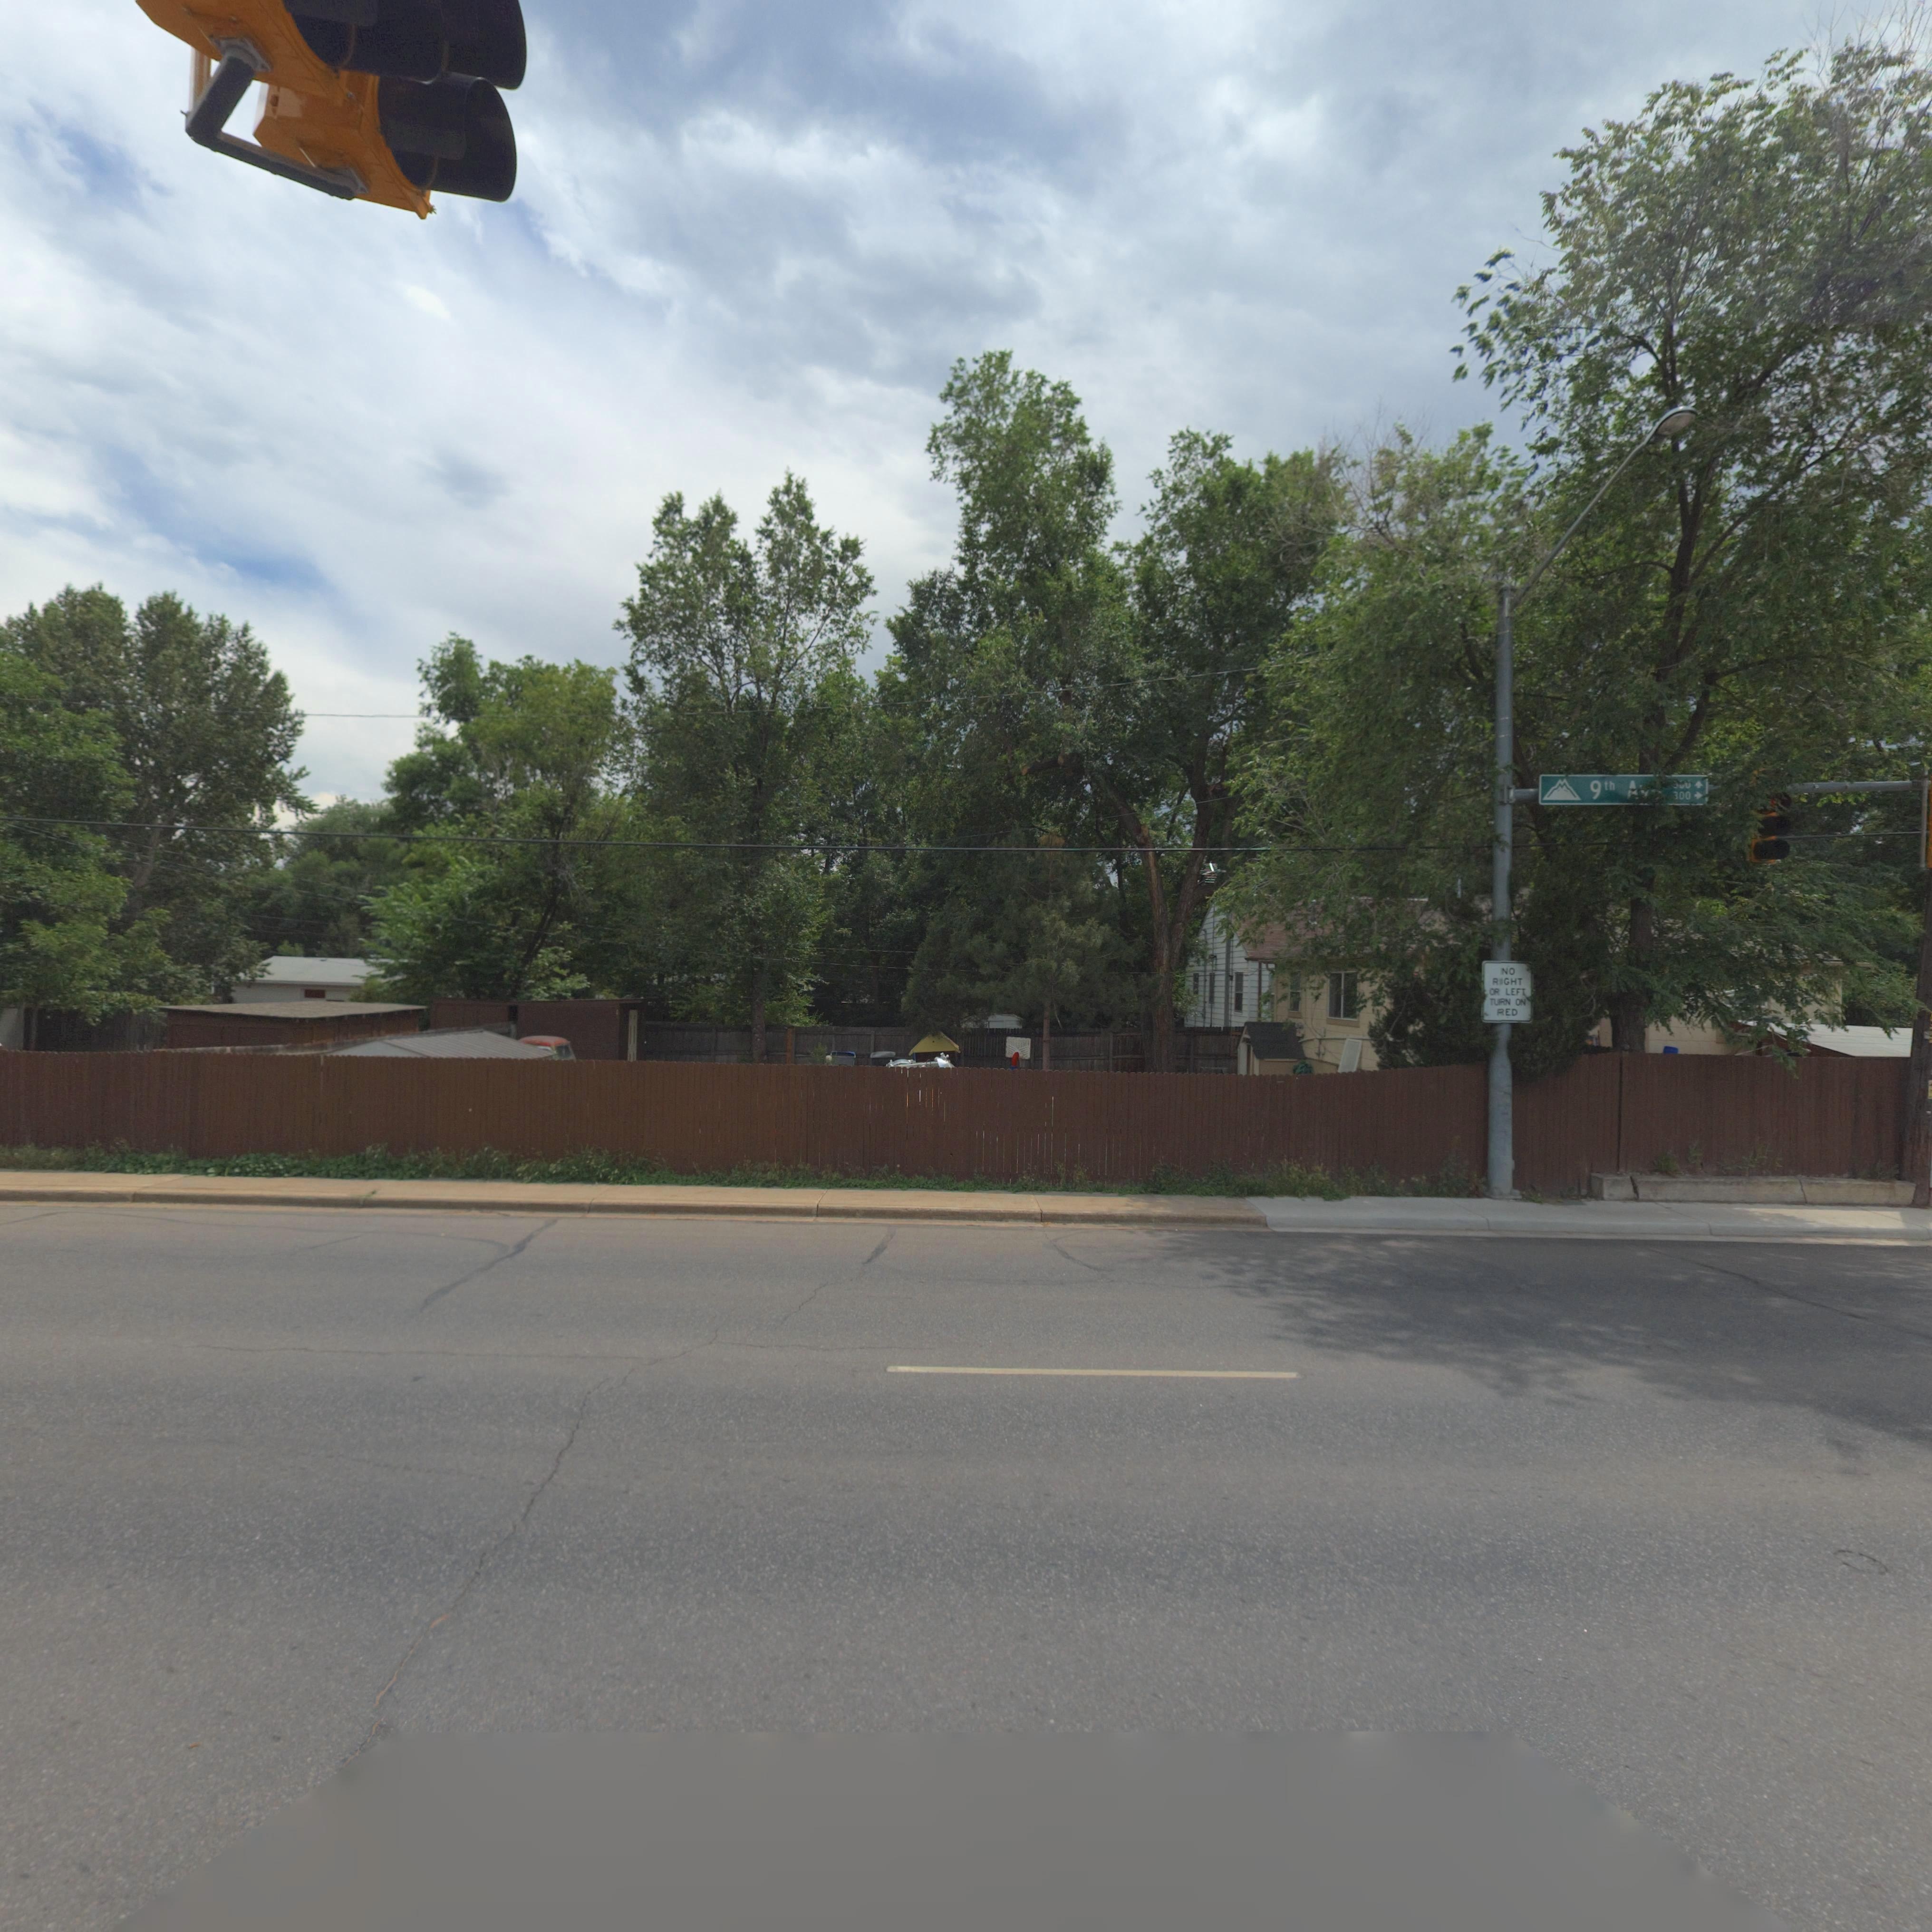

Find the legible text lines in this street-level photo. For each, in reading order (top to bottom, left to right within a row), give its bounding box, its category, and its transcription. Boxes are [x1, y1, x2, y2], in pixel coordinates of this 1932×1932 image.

[1589, 779, 1663, 802] StreetName: 9th A**
[1671, 791, 1703, 800] StreetNumberRange: *00->